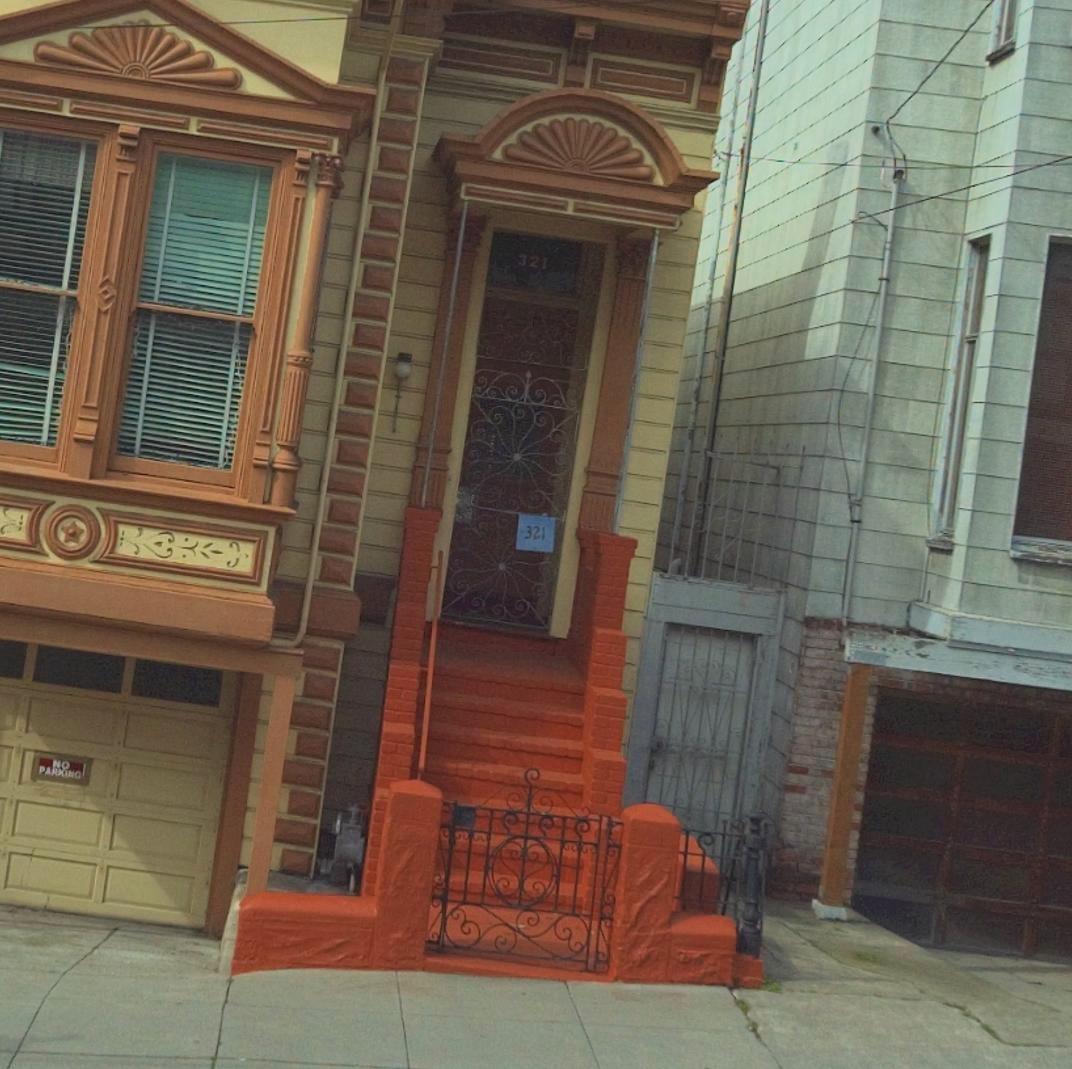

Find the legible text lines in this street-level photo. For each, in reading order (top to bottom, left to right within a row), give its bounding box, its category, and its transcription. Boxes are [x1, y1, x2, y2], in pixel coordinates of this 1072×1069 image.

[516, 250, 550, 273] StreetNumber: 321
[523, 523, 547, 543] StreetNumber: 321
[37, 763, 83, 783] None: PARKING
[51, 757, 72, 771] None: NO